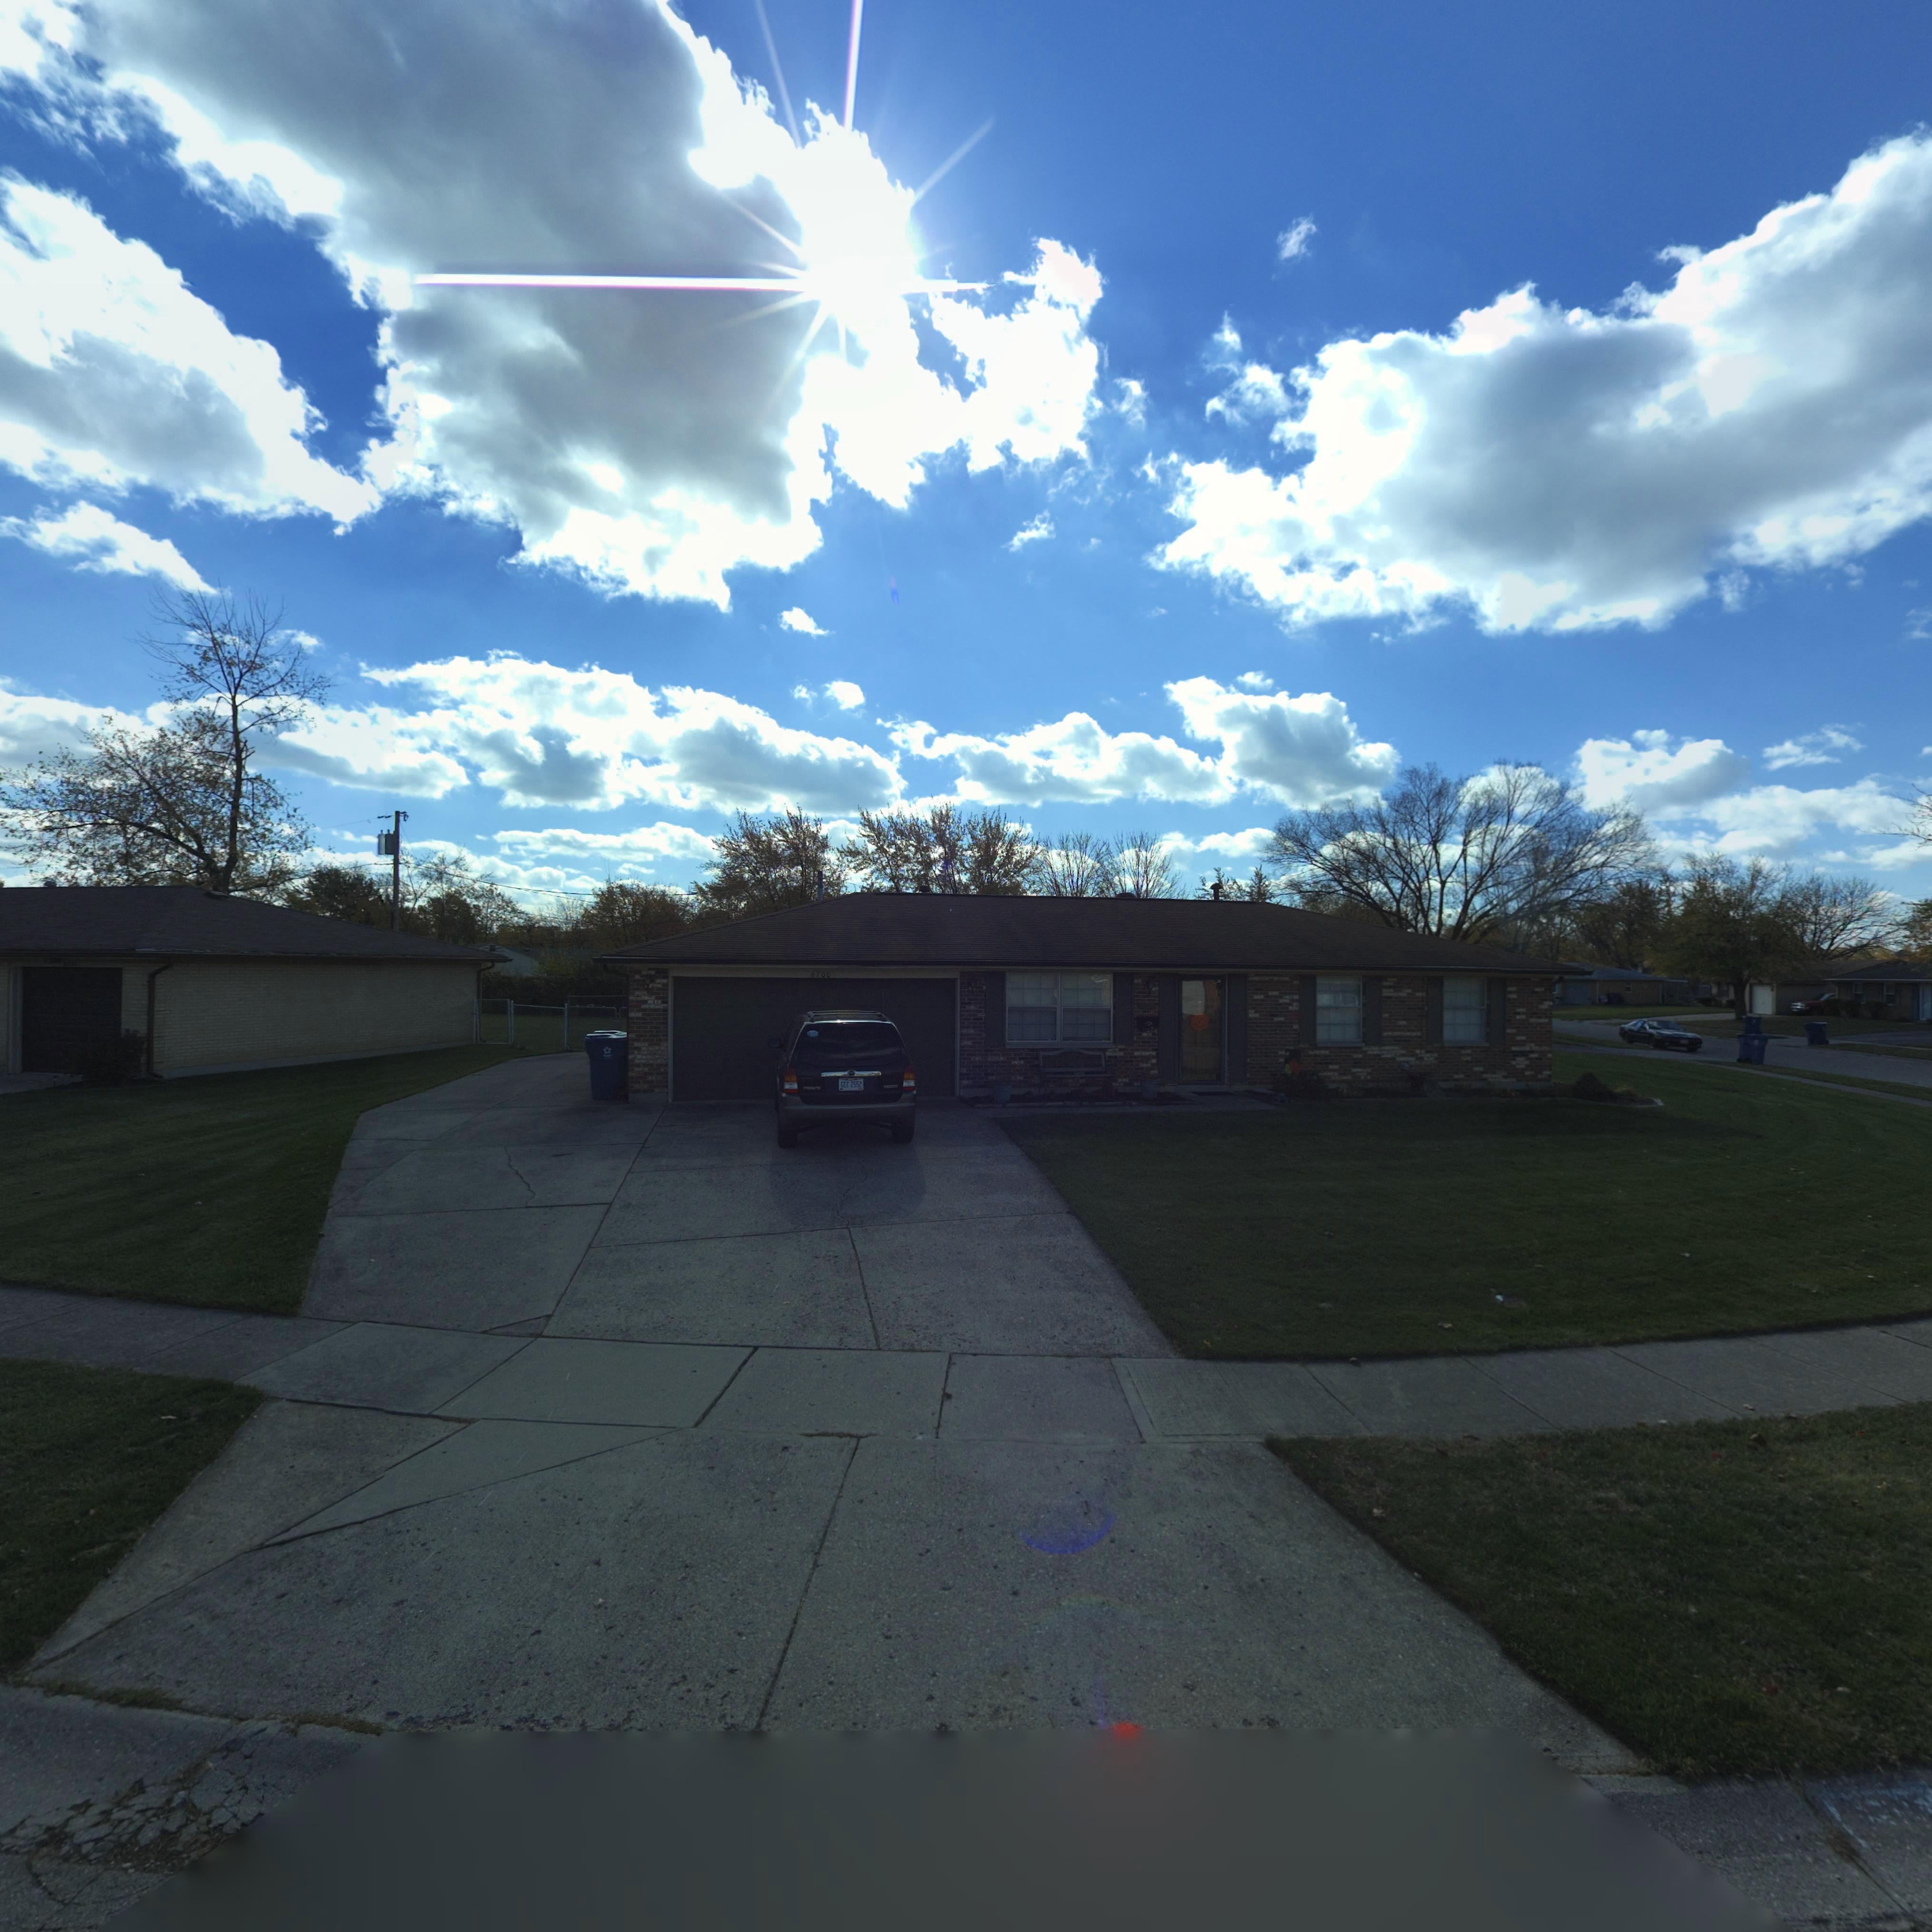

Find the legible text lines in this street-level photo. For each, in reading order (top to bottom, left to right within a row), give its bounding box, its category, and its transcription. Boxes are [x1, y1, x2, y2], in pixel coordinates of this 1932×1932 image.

[811, 971, 831, 978] StreetNumber: 6700